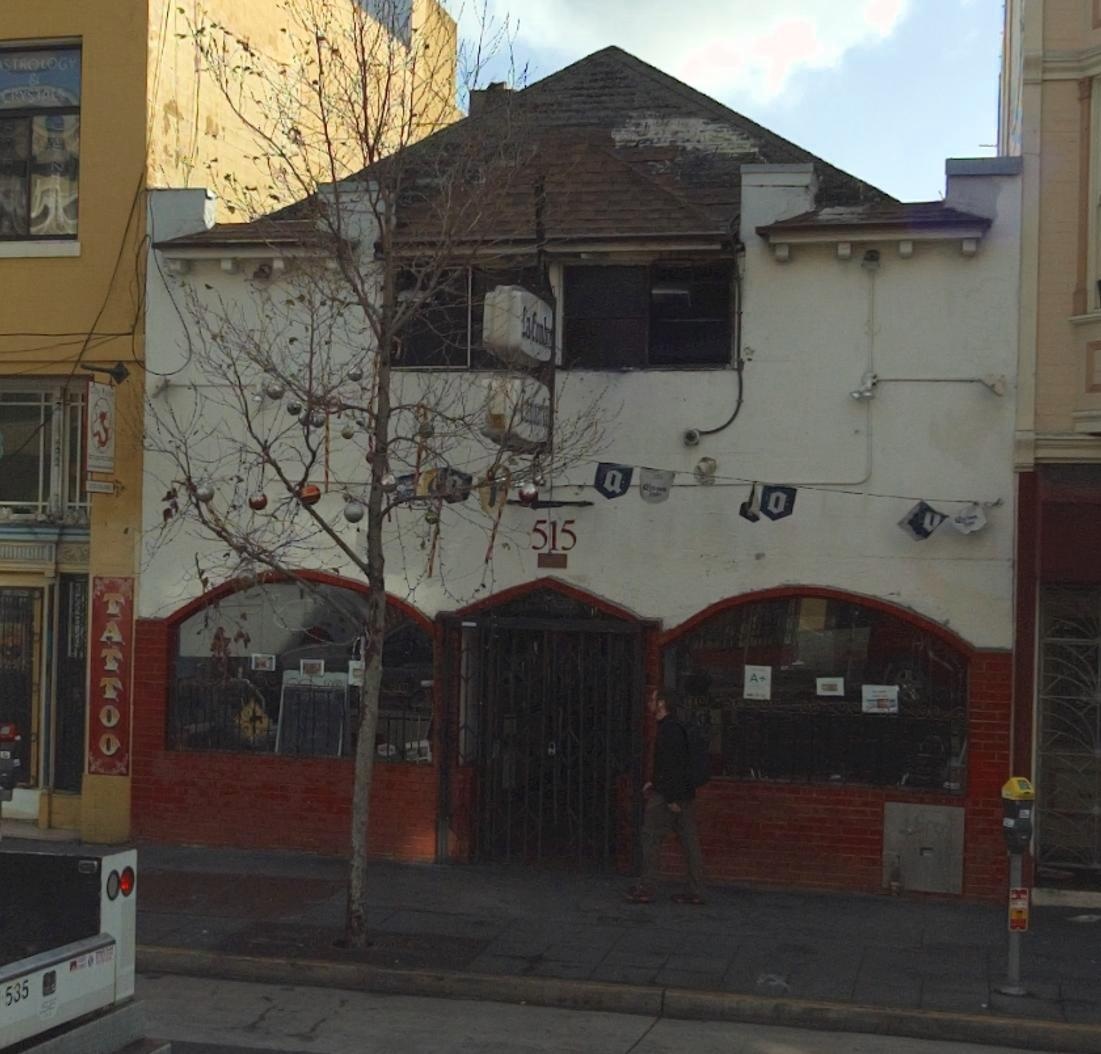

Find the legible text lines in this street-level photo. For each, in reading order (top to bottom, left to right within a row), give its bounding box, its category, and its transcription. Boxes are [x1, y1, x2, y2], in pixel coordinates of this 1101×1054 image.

[2, 54, 79, 73] None: STROLOGY
[1, 86, 67, 104] None: CRYSTALS
[600, 468, 624, 494] None: a
[766, 489, 787, 515] None: o
[532, 519, 578, 552] StreetNumber: 515
[98, 591, 126, 757] None: TATTOO
[5, 976, 30, 1009] None: 535